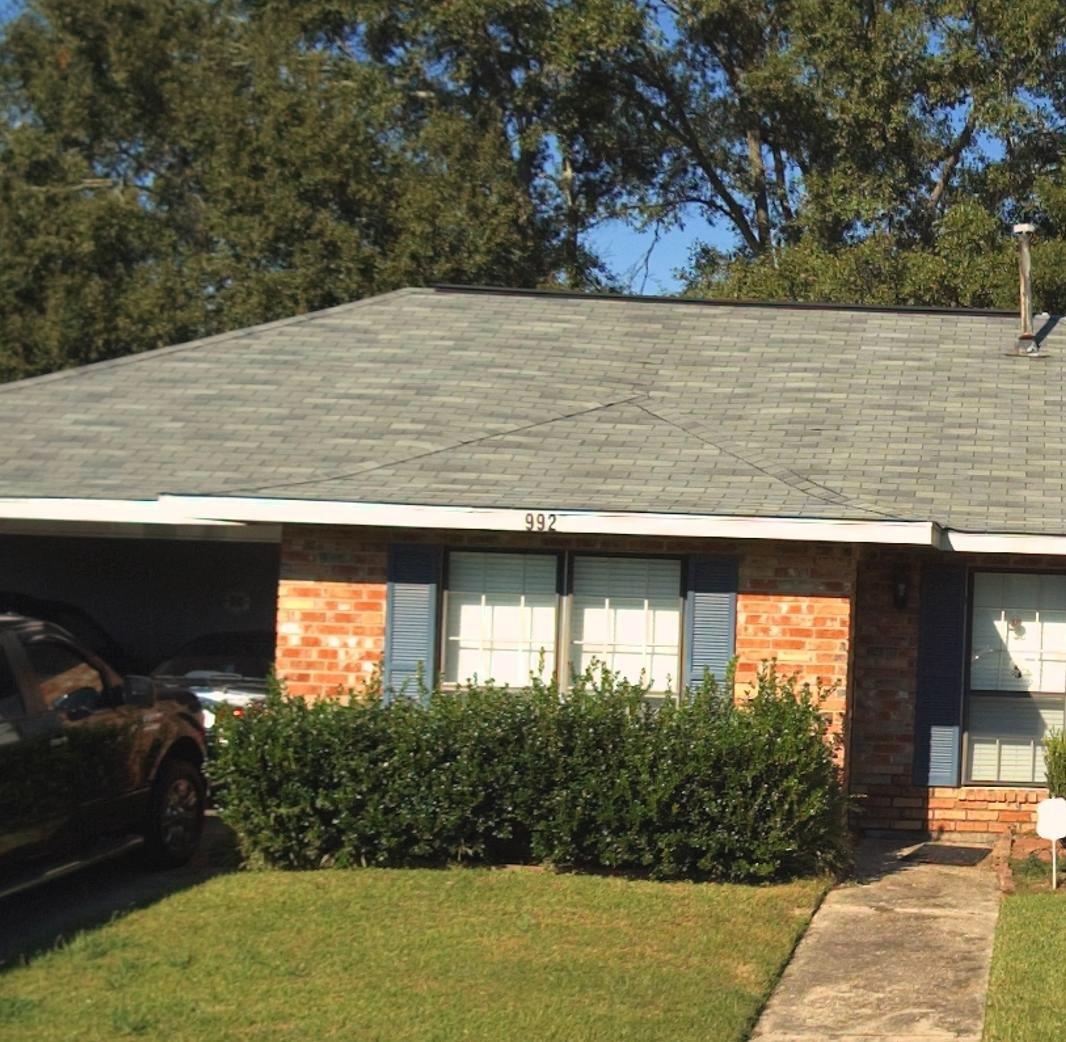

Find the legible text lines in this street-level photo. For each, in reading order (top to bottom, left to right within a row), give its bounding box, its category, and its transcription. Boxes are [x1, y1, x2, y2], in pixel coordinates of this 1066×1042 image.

[524, 512, 557, 532] StreetNumber: 992